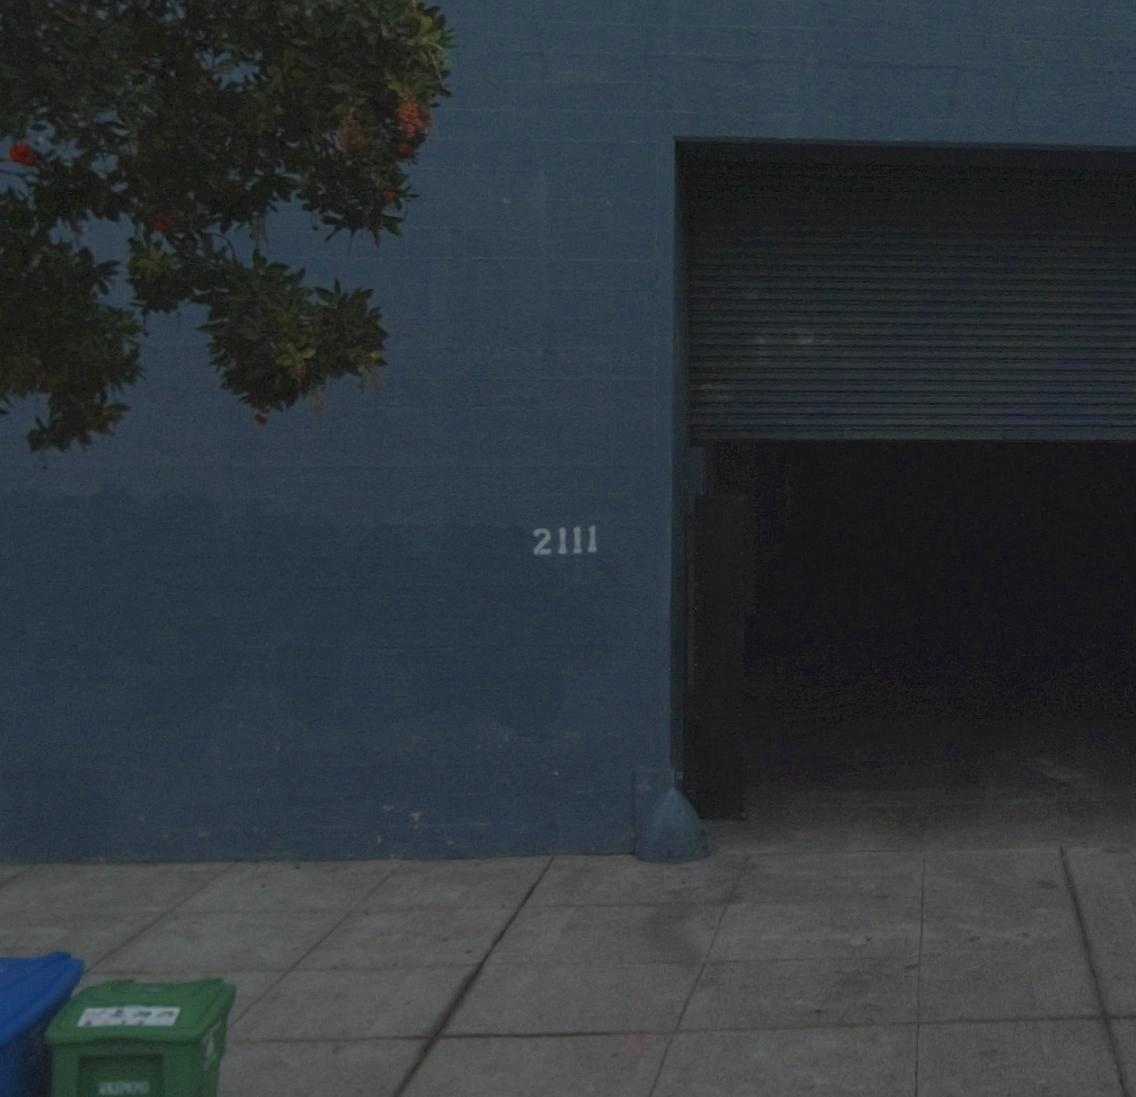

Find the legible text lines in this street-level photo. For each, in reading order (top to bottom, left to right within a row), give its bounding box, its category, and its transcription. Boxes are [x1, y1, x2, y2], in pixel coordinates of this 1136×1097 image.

[531, 523, 599, 557] StreetNumber: 2111